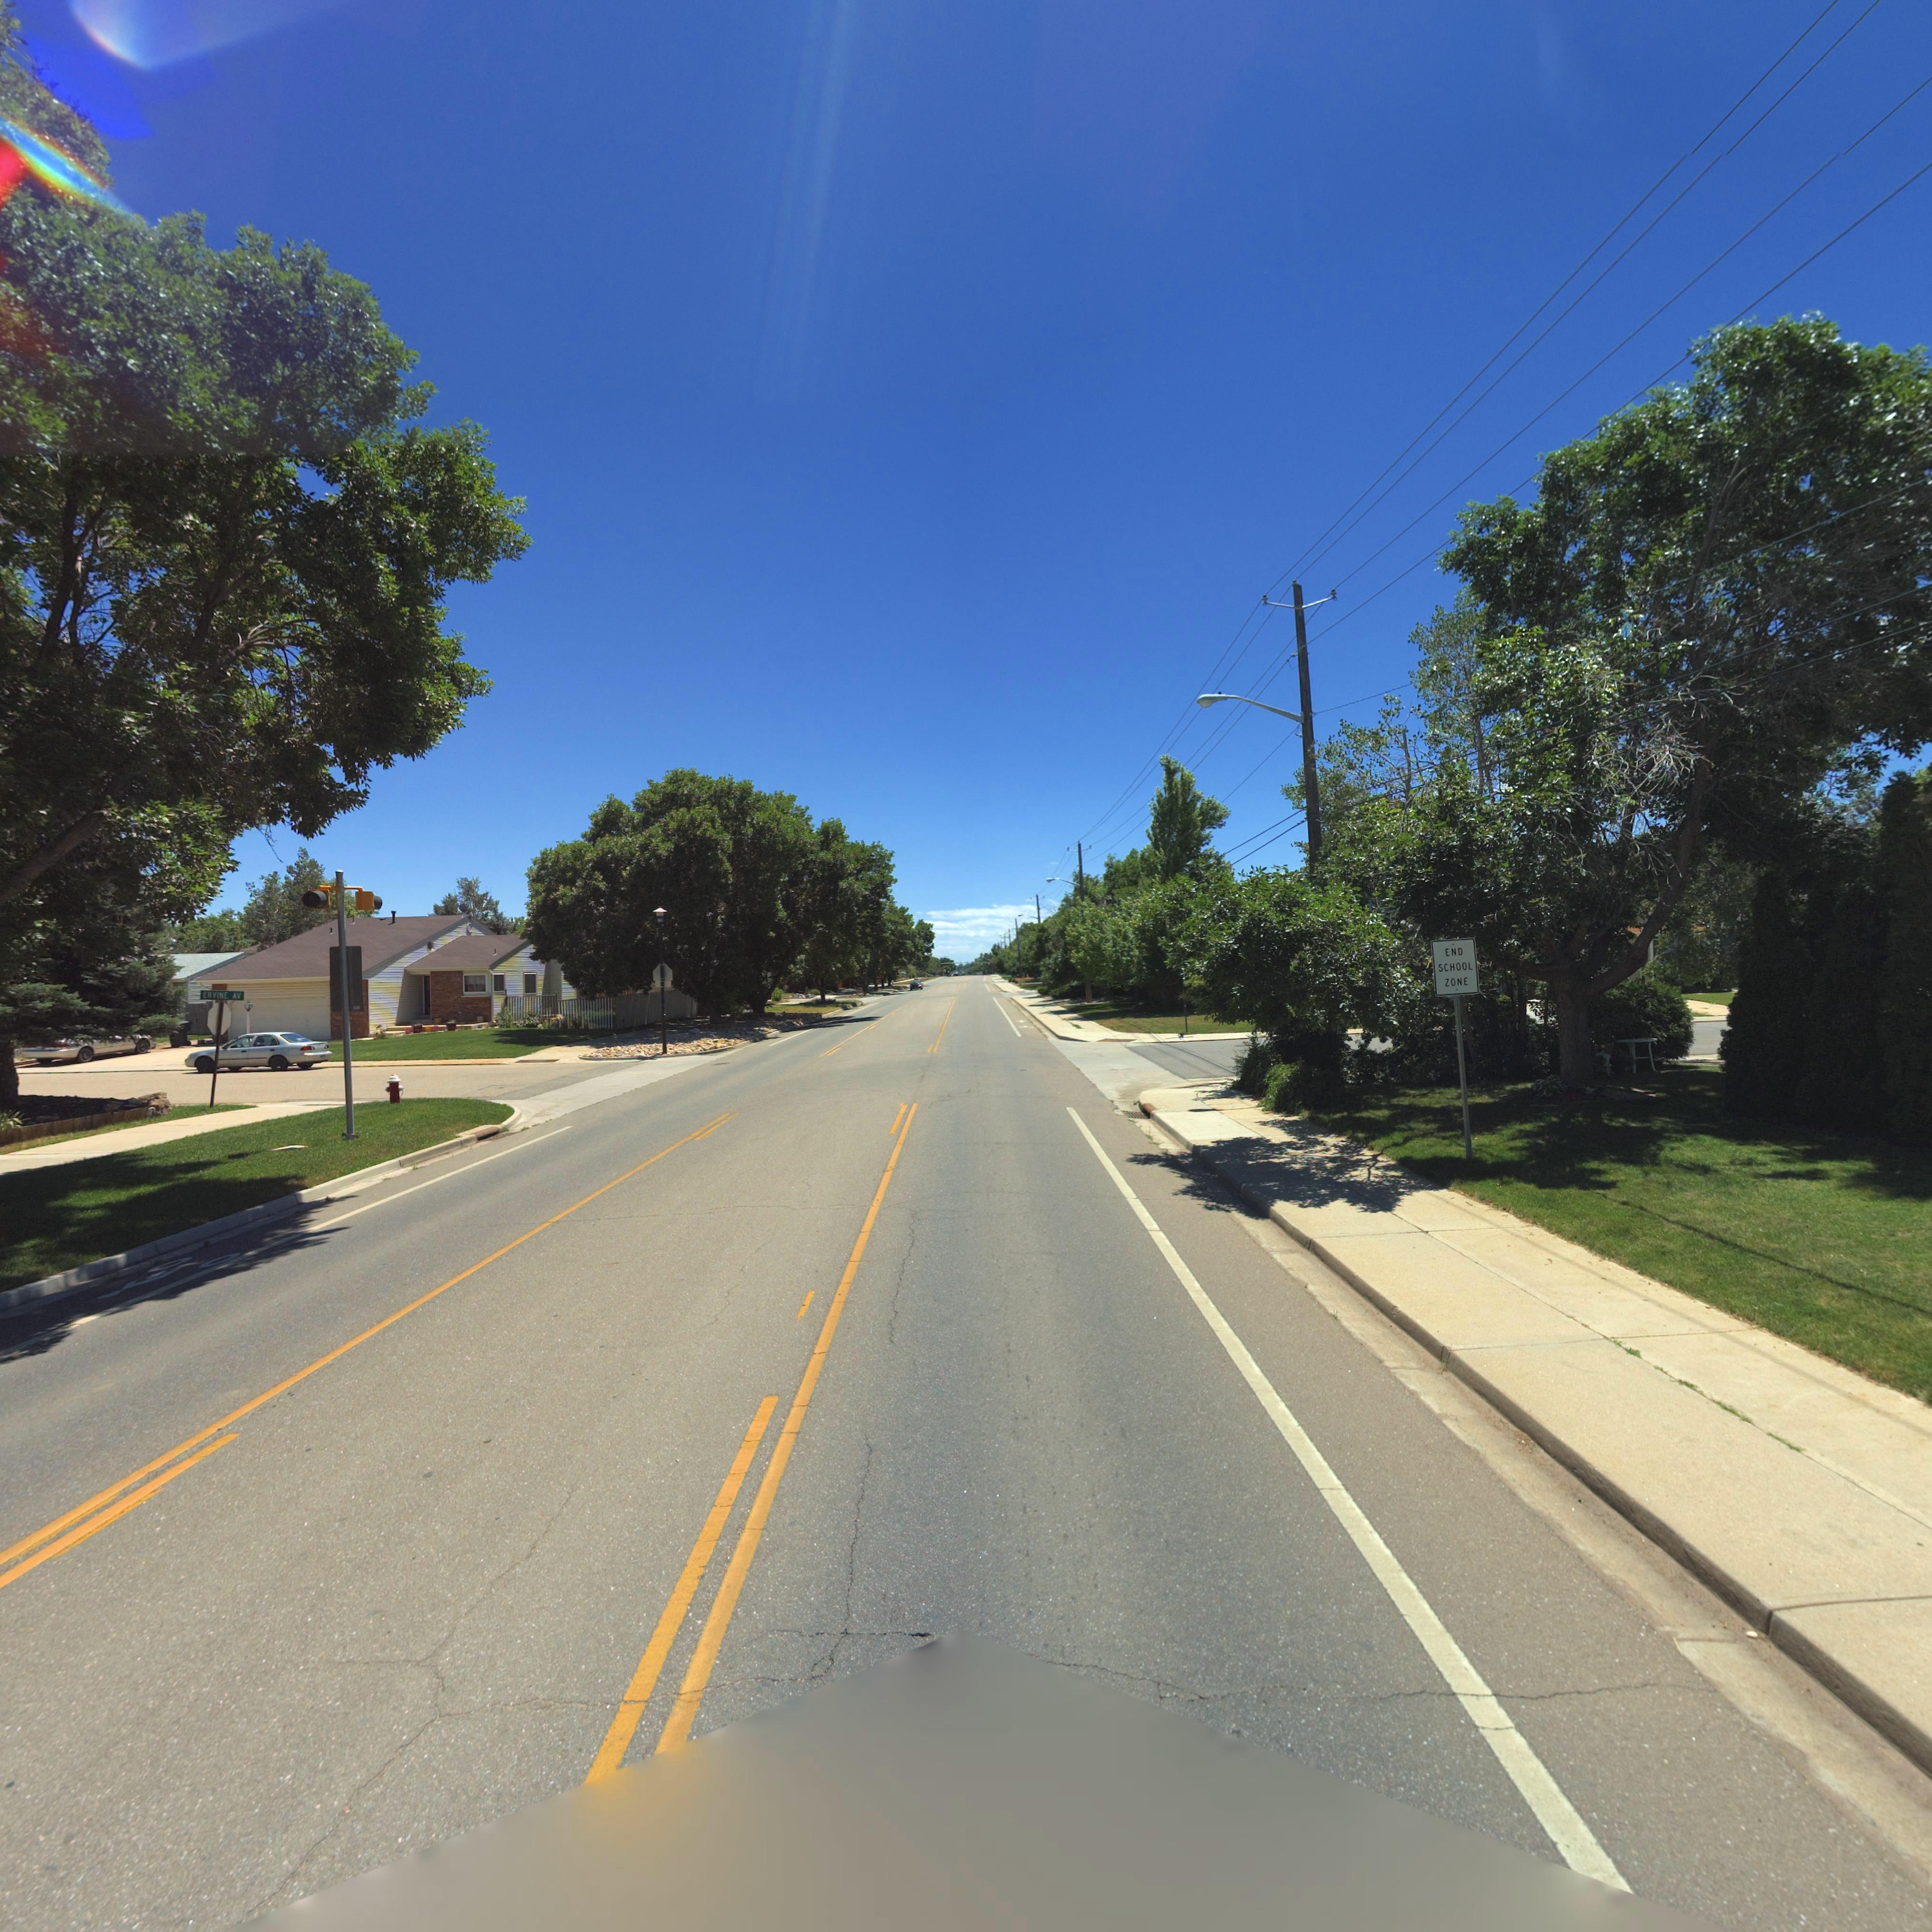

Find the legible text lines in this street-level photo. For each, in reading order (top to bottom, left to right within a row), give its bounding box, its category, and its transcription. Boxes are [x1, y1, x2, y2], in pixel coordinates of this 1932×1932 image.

[203, 991, 241, 999] StreetName: ERVINE AV